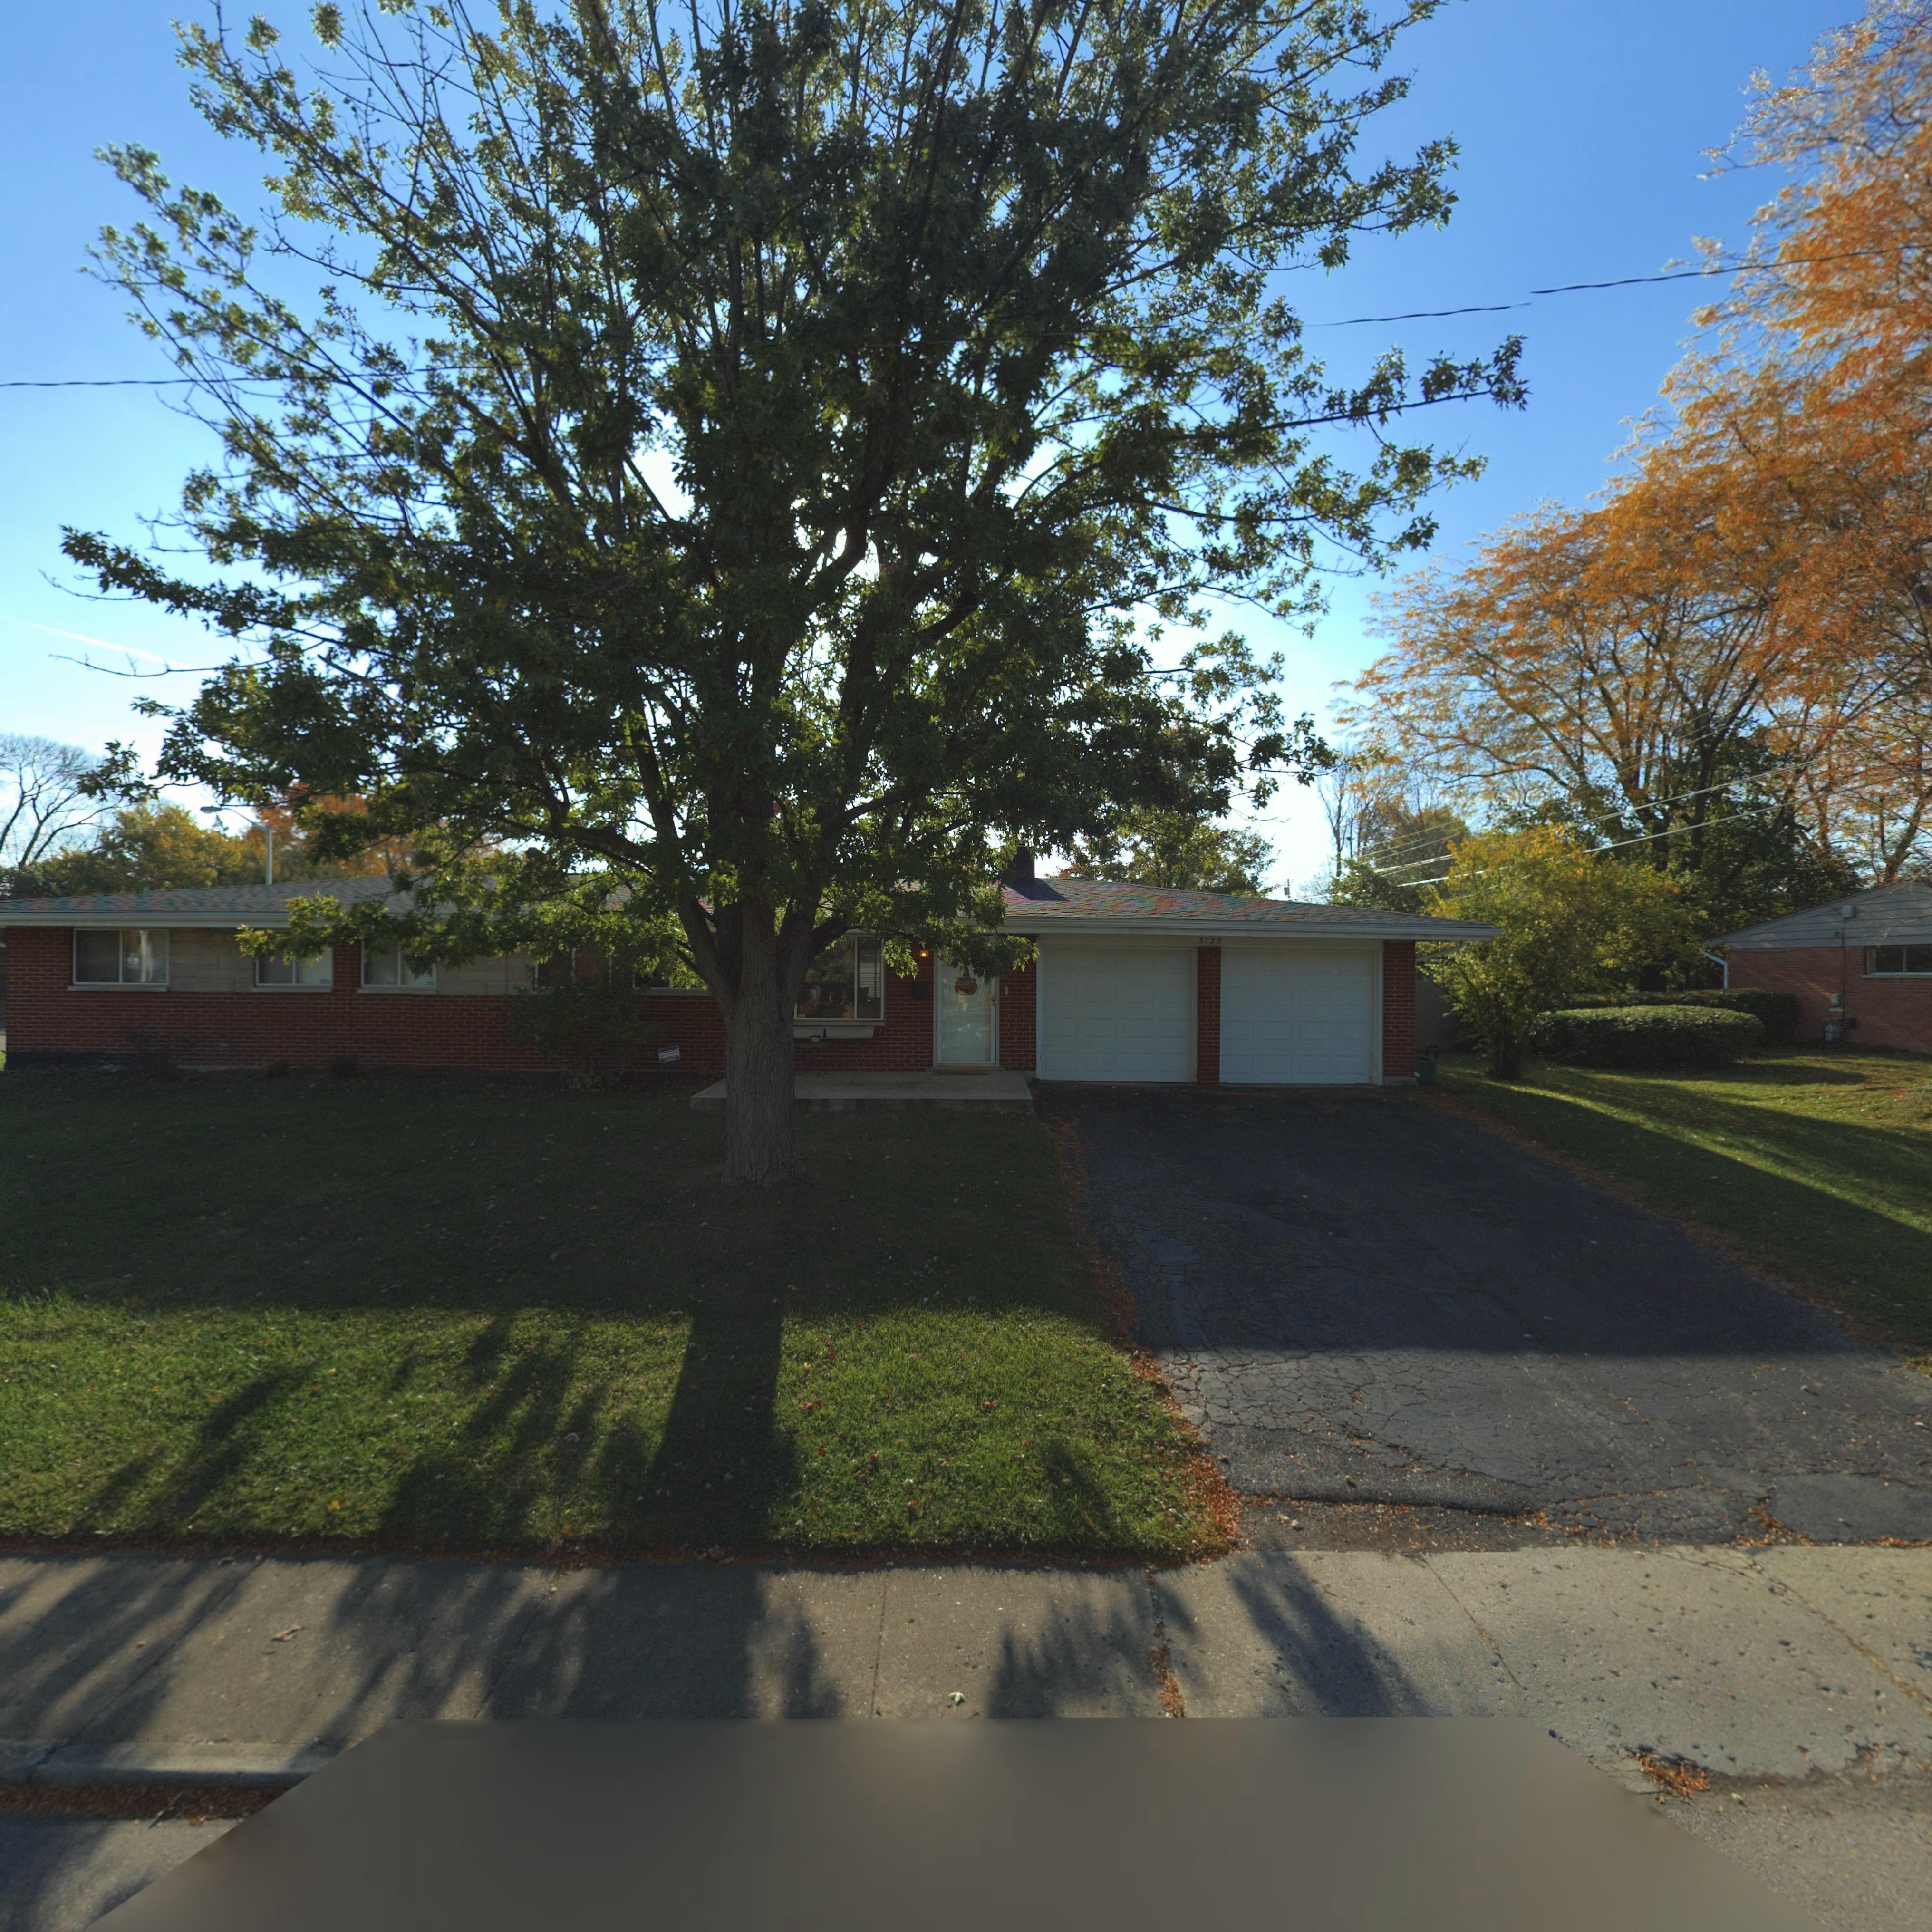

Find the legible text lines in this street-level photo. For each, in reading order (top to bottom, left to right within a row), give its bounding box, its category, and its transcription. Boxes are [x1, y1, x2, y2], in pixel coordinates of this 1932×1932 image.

[1198, 937, 1221, 944] StreetNumber: 3125